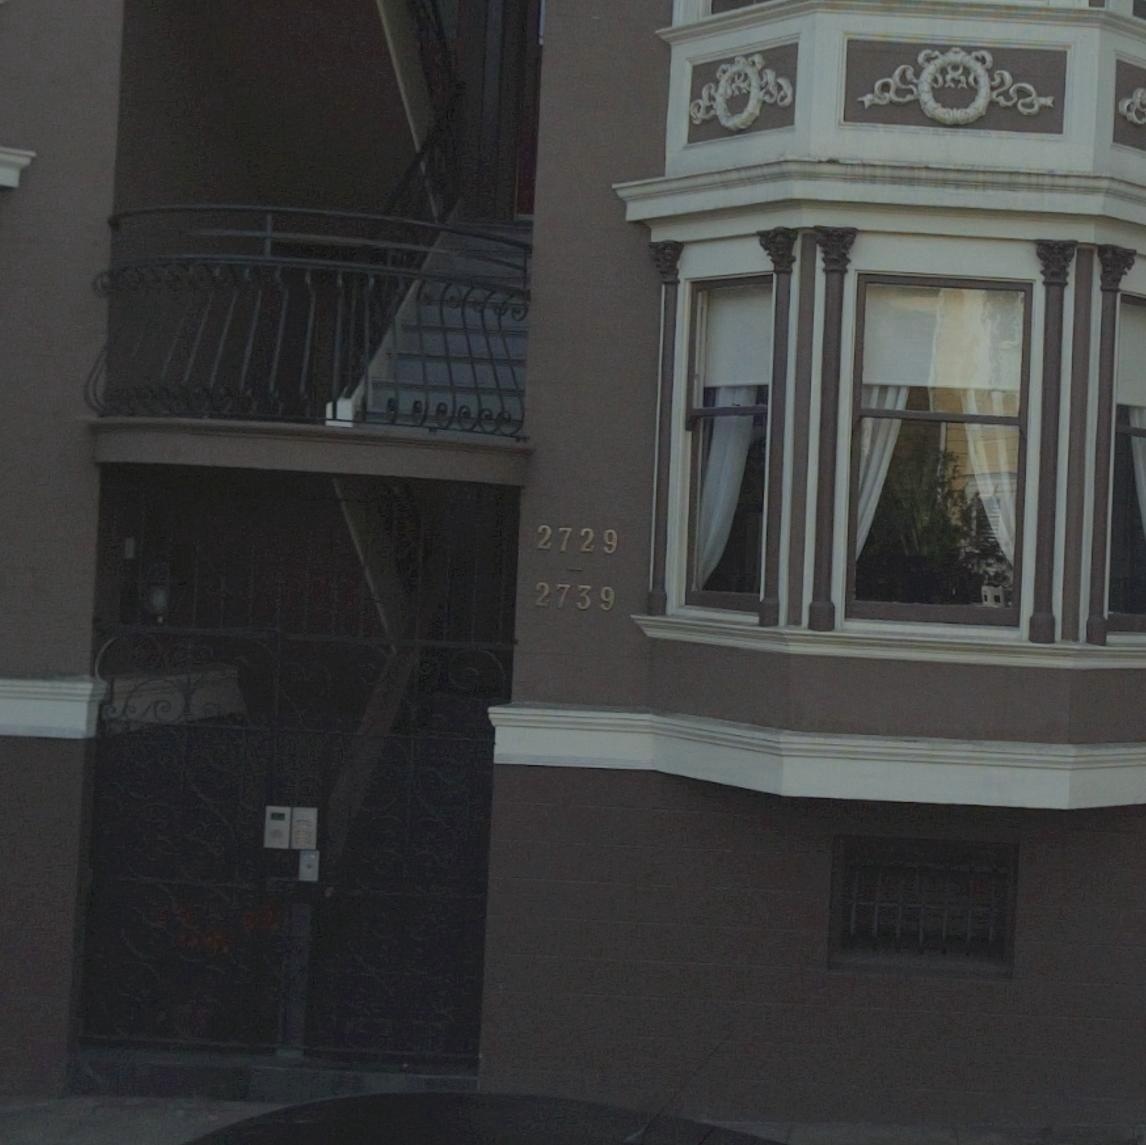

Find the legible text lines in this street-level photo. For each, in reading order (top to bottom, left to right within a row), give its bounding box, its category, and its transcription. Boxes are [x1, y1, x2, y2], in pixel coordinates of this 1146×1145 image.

[530, 518, 623, 560] StreetNumber: 2729
[529, 576, 622, 618] StreetNumber: 2739